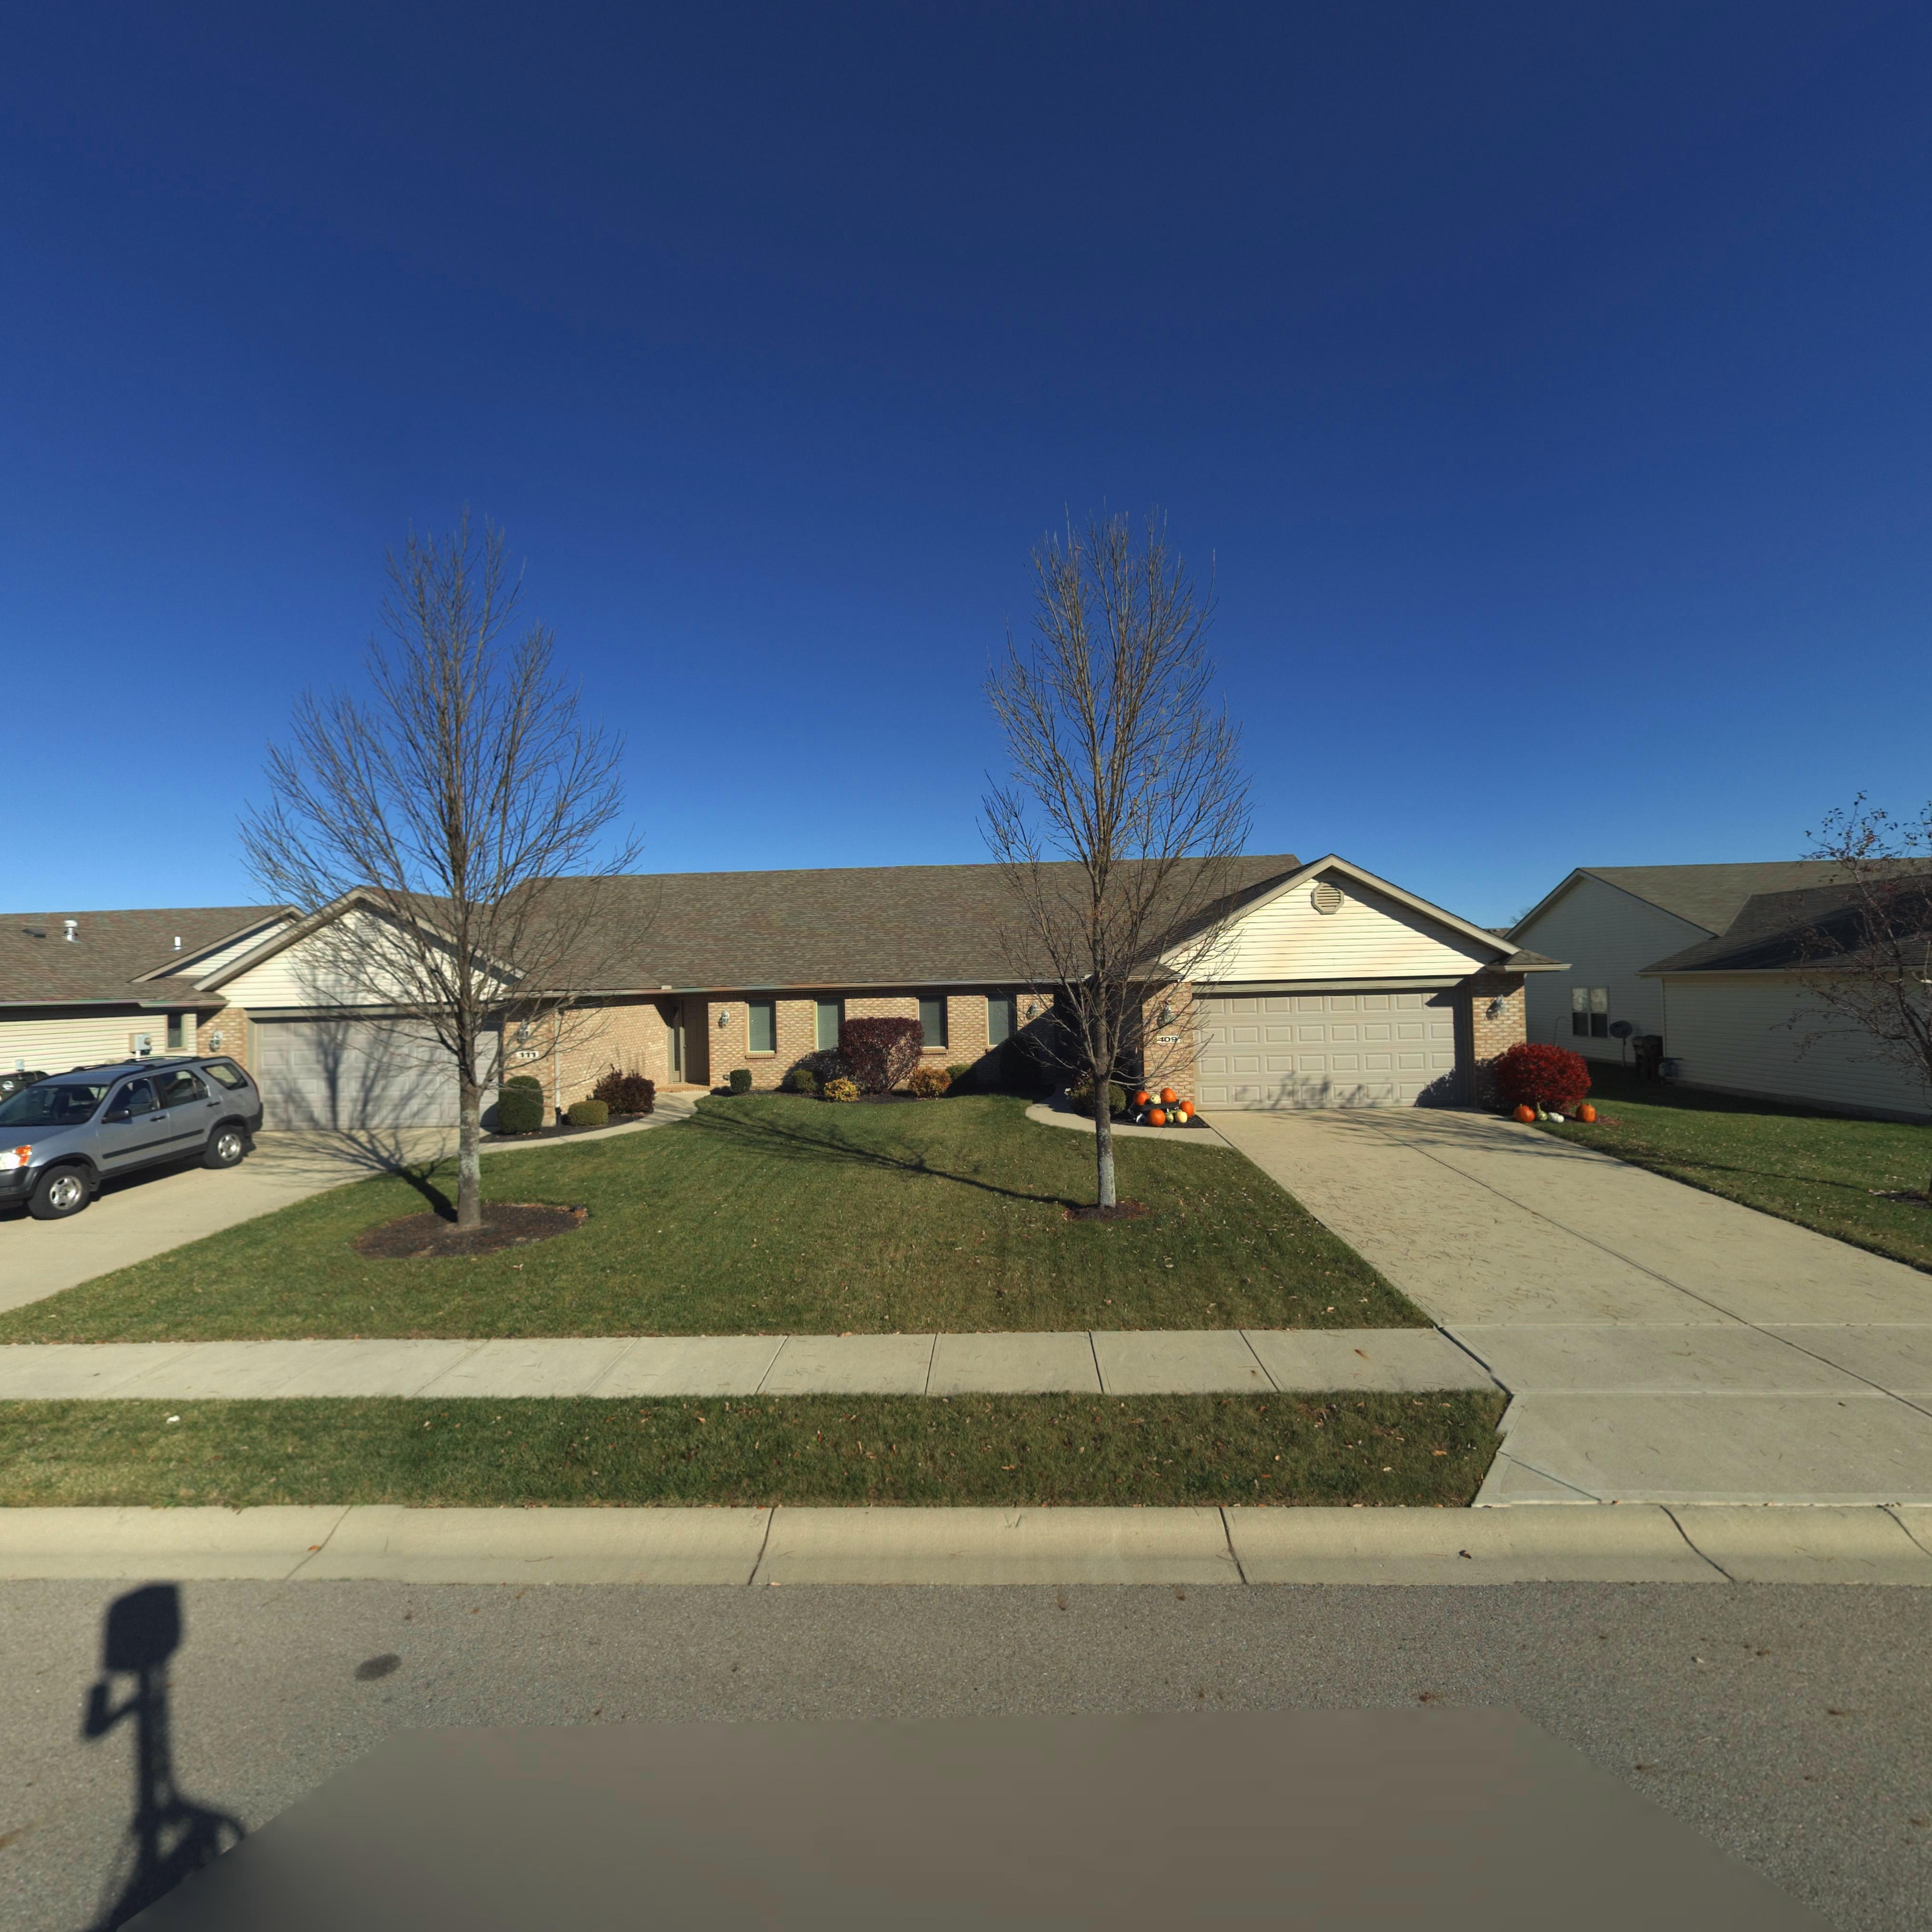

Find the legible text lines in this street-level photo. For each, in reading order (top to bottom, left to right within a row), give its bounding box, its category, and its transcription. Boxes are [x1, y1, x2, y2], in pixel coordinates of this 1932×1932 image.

[1159, 1036, 1178, 1043] StreetNumber: 109
[519, 1052, 537, 1058] StreetNumber: 111